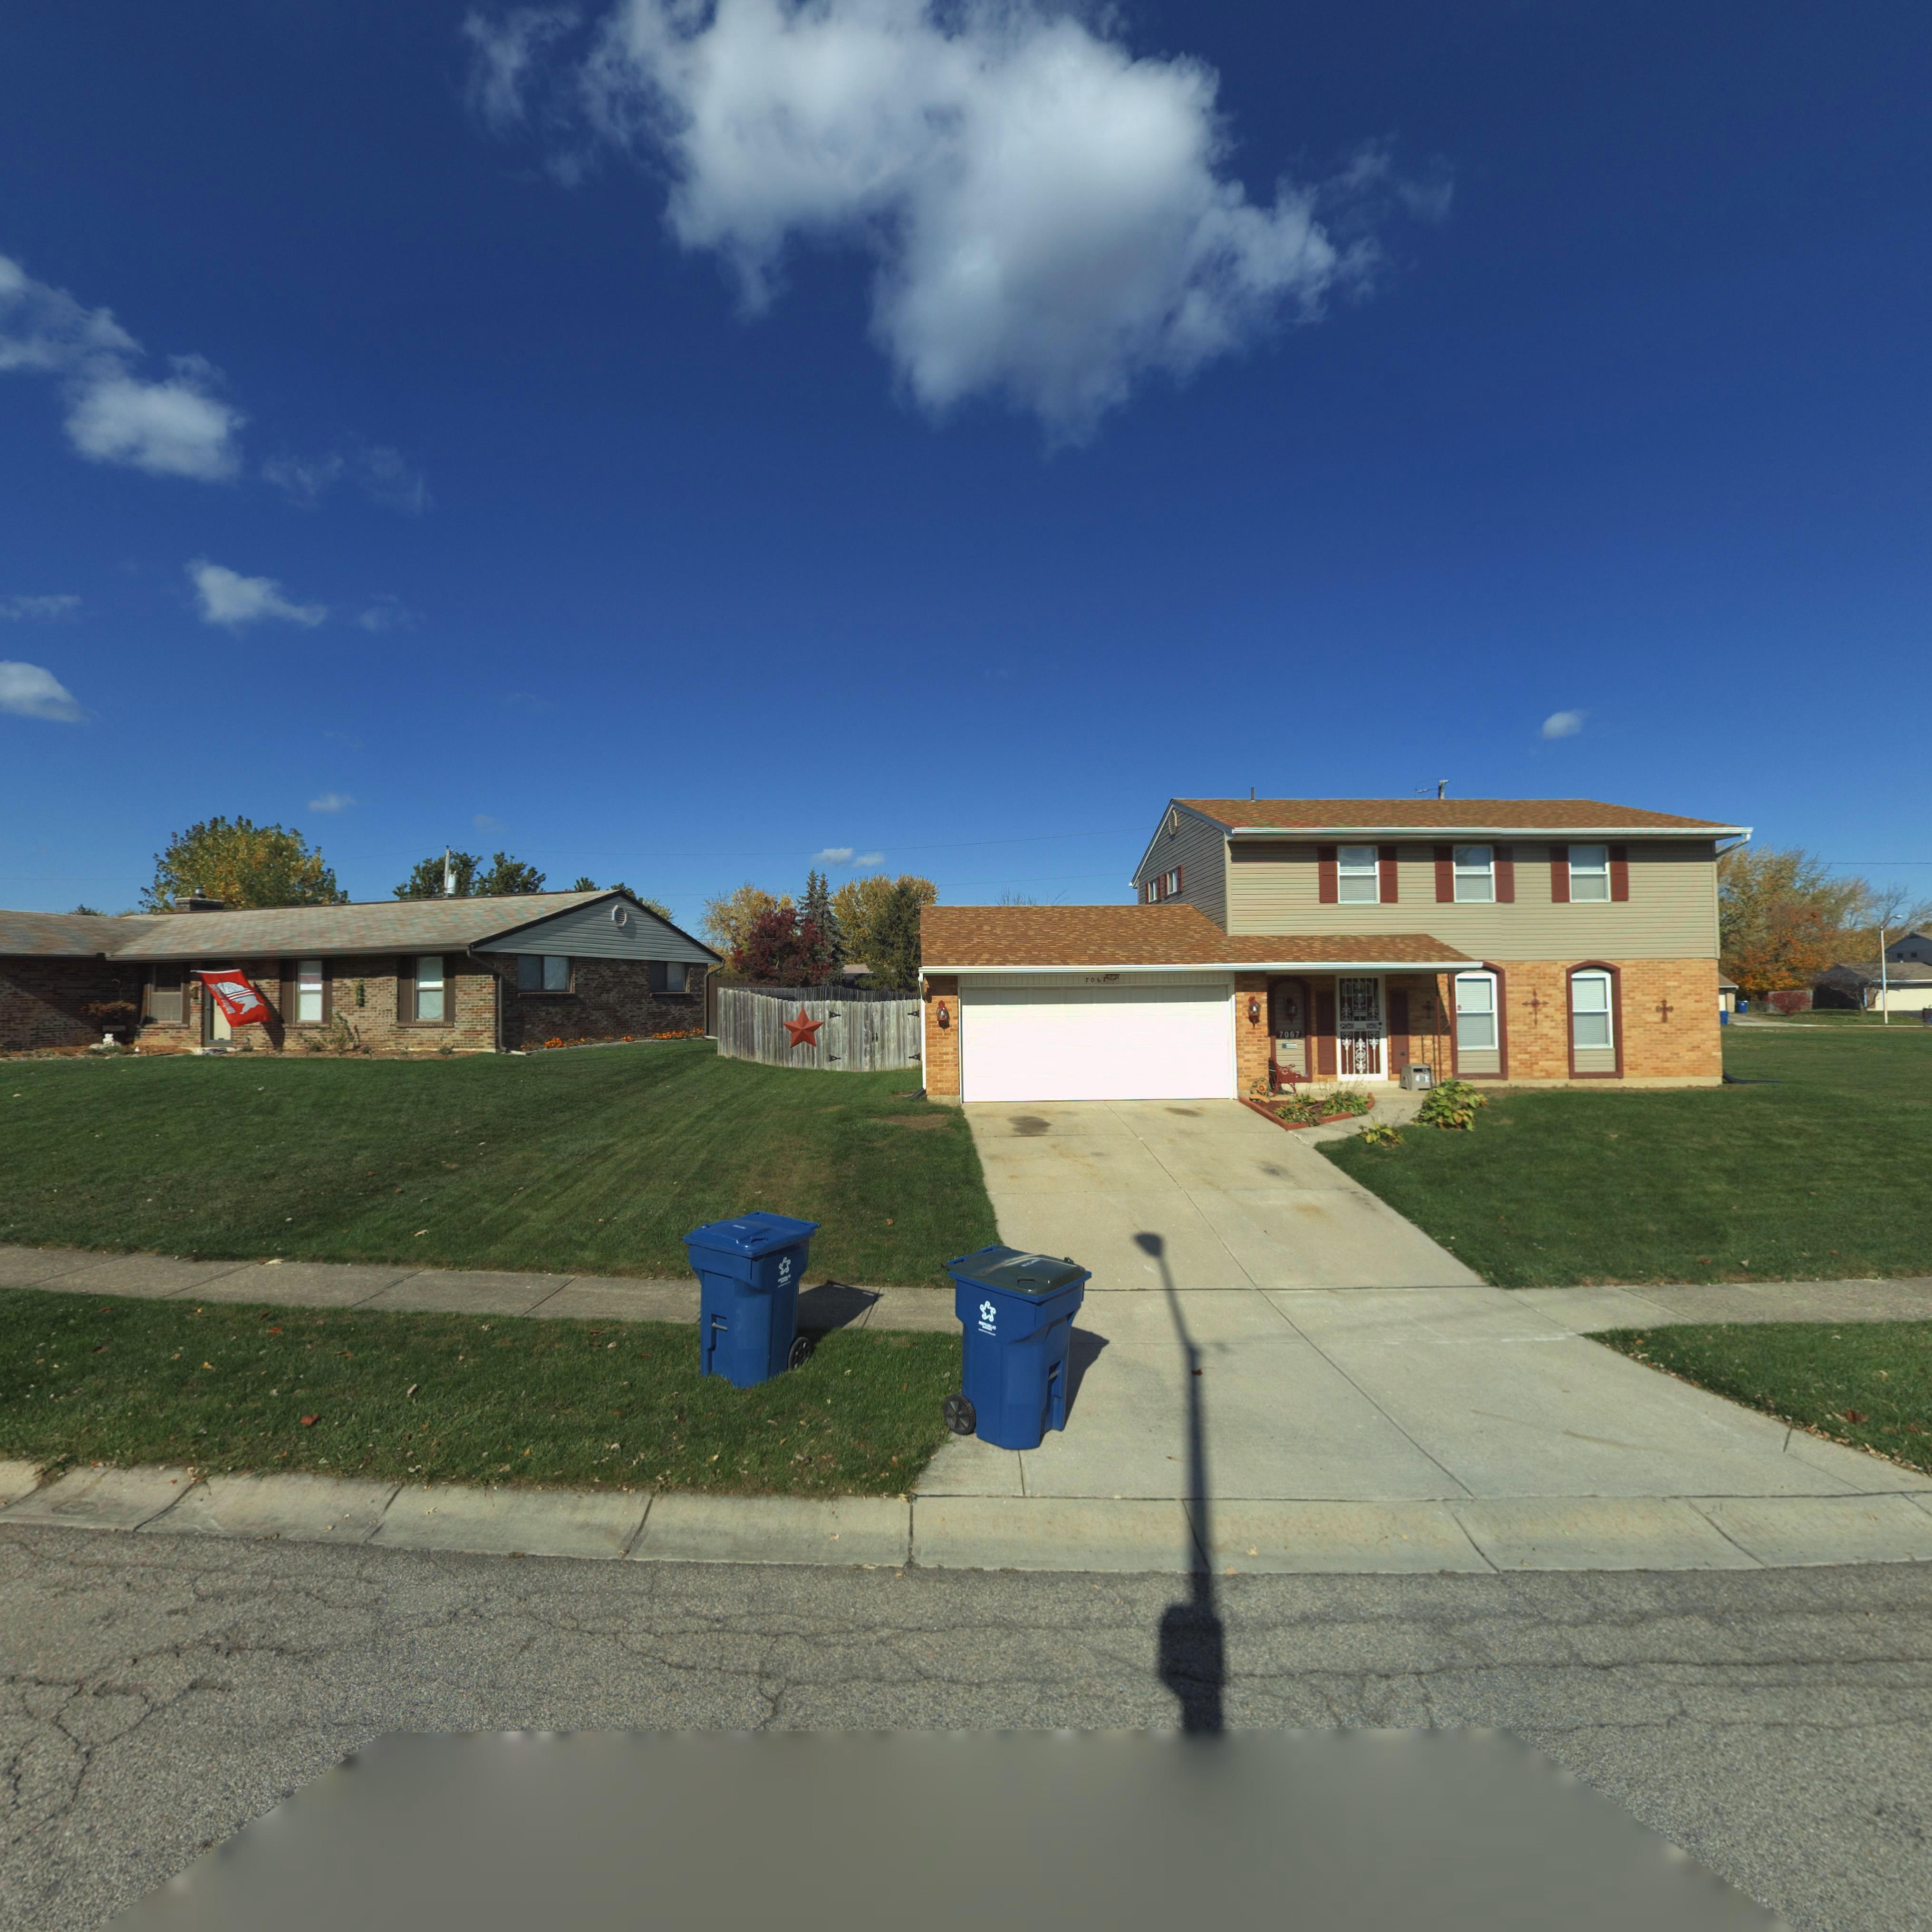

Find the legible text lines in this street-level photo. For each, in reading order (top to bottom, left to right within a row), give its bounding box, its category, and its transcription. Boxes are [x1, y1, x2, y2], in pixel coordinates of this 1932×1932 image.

[1085, 976, 1107, 984] StreetNumber: 7067
[1277, 1030, 1301, 1040] StreetNumber: 7067